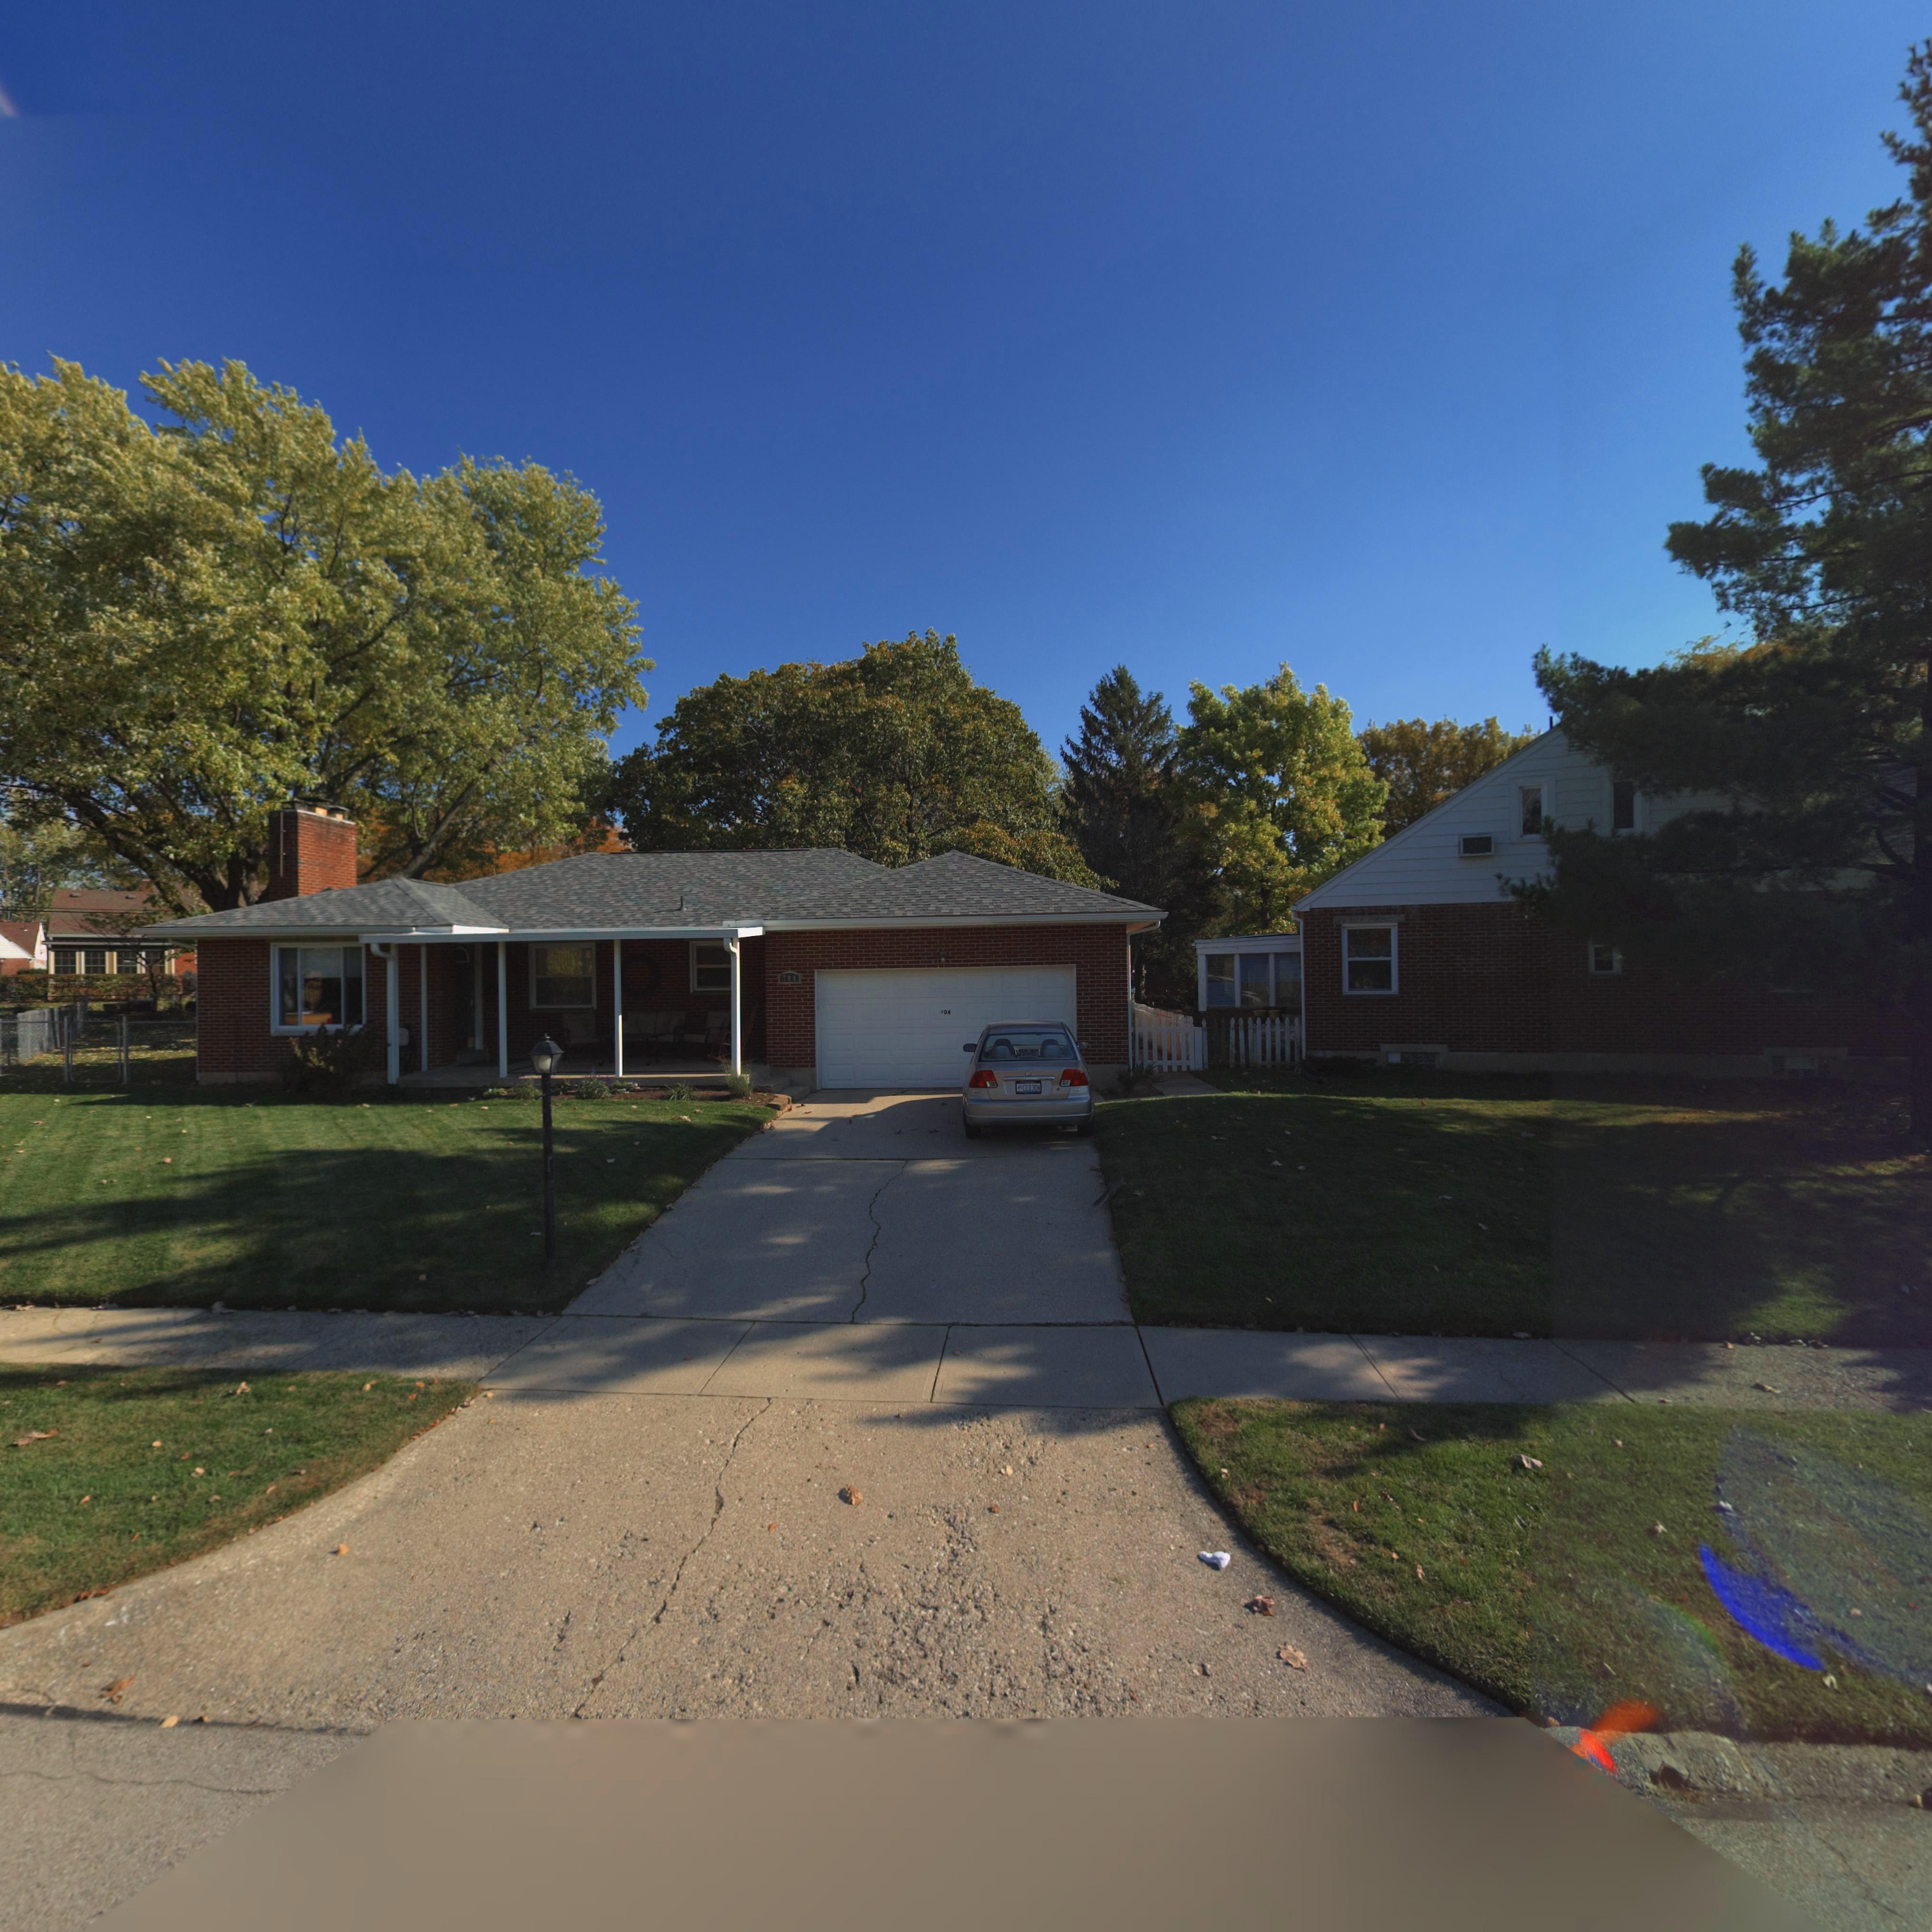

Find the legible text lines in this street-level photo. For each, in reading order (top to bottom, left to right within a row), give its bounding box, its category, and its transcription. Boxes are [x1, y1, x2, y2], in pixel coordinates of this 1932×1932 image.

[782, 975, 796, 982] StreetNumber: 704
[939, 1009, 951, 1015] StreetNumber: *04
[1022, 1084, 1041, 1092] None: CE03DN